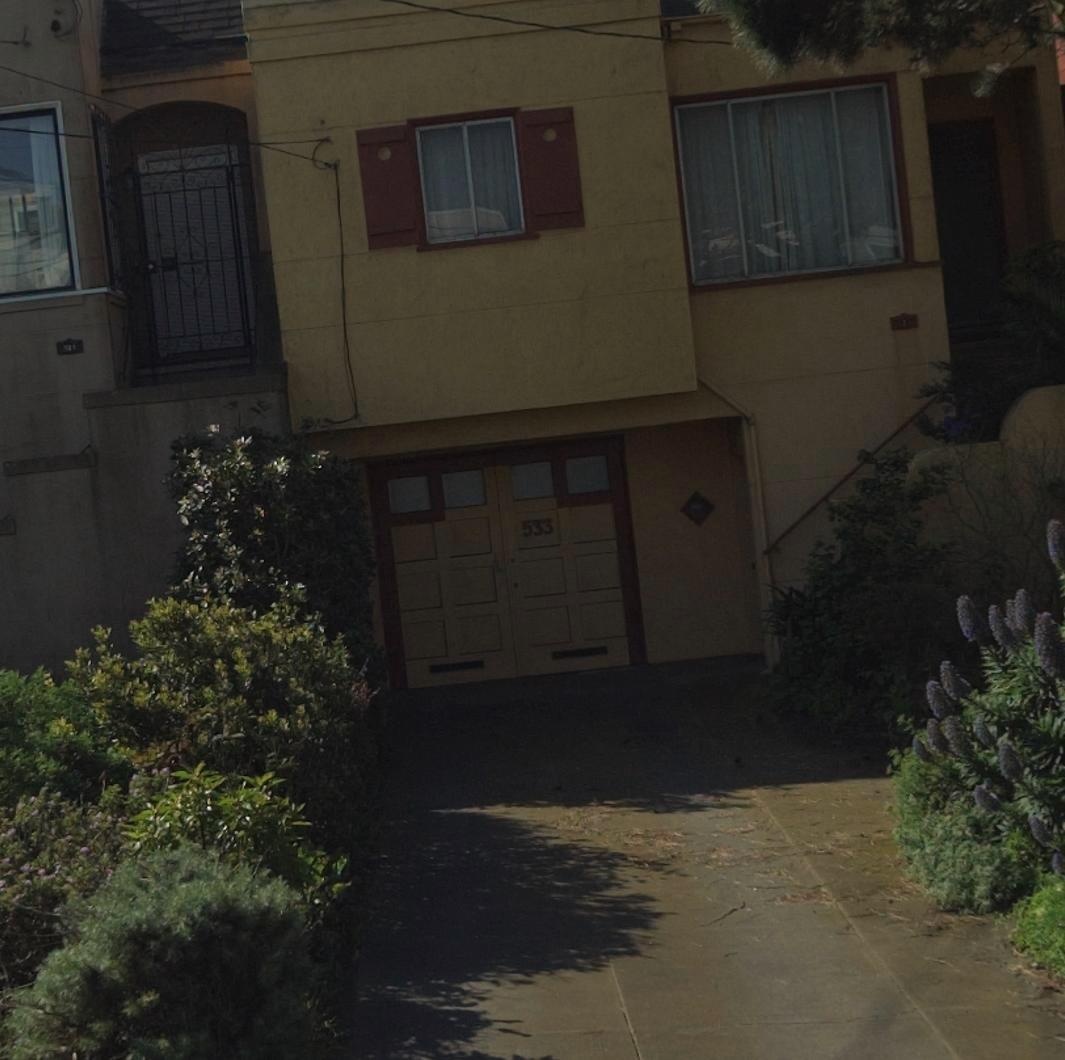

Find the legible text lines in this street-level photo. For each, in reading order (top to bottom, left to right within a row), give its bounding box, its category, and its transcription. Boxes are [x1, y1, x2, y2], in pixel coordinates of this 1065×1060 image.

[517, 514, 556, 539] StreetNumber: 533